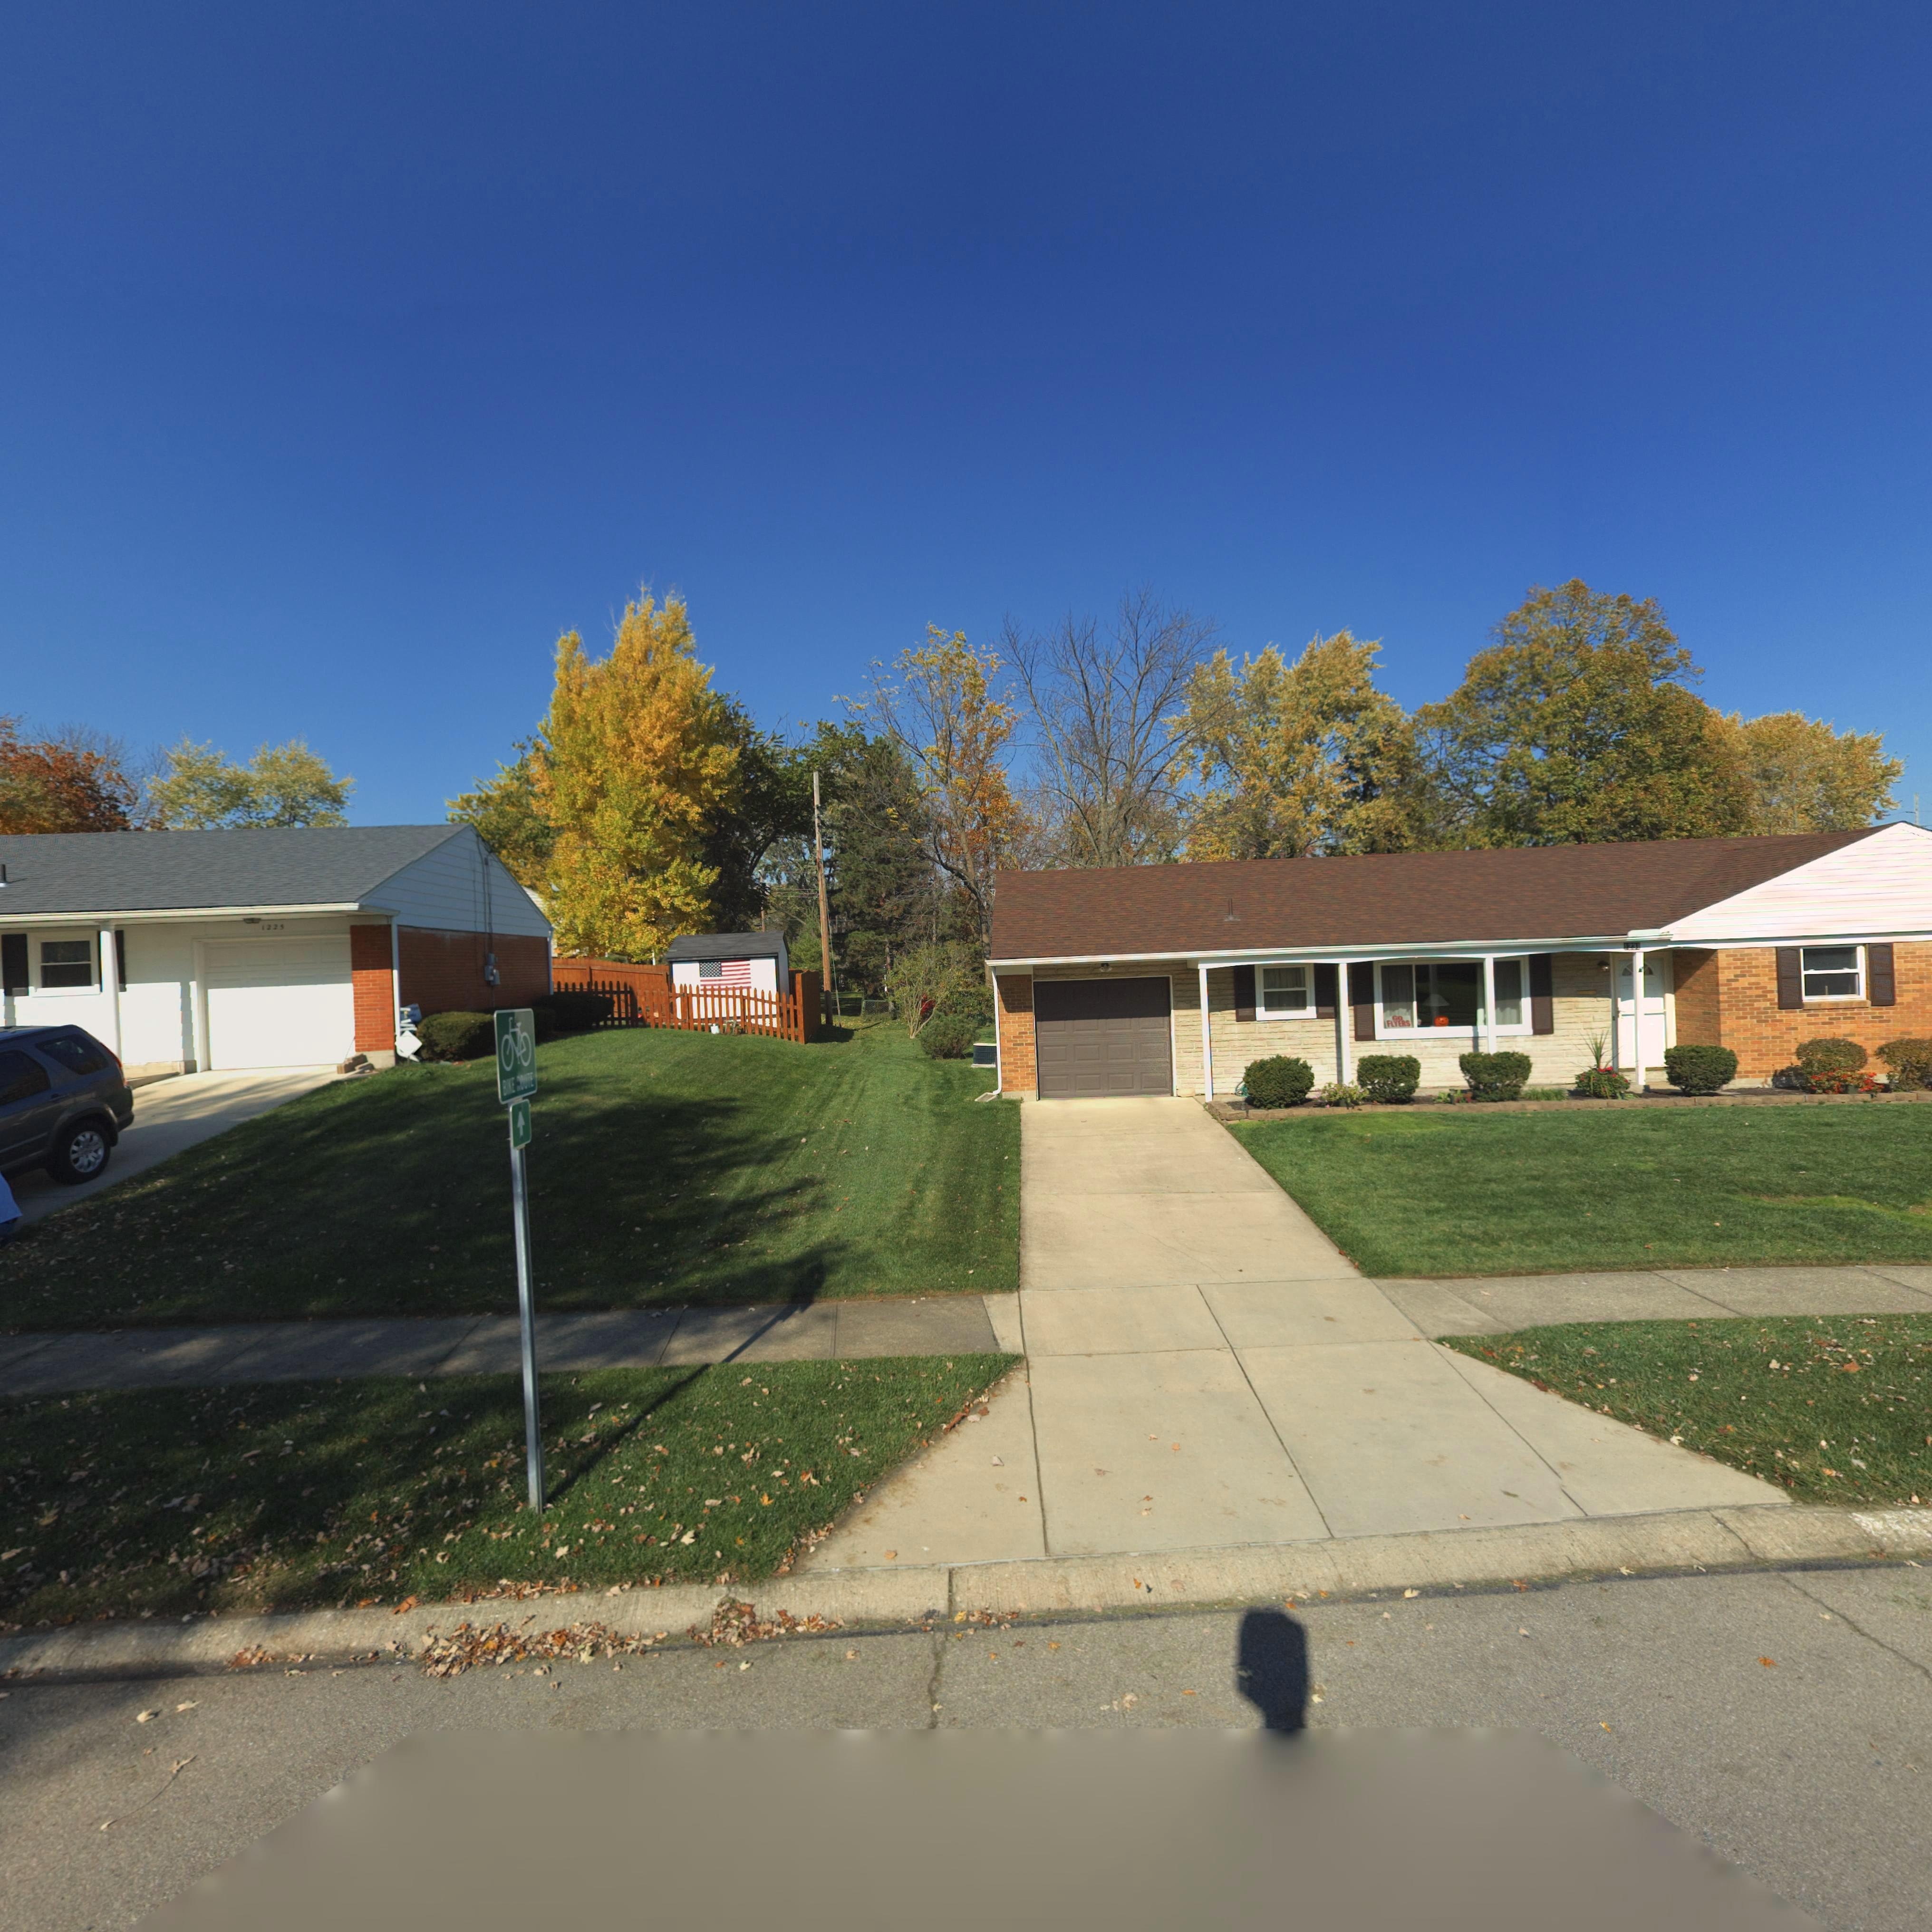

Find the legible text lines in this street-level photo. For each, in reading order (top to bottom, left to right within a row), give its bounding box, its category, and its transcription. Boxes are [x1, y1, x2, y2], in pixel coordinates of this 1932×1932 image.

[261, 923, 285, 931] StreetNumber: 1225
[1624, 943, 1640, 950] StreetNumber: 1234
[1391, 1015, 1403, 1021] None: GO
[1386, 1019, 1411, 1027] None: FLYERS
[502, 1072, 534, 1098] None: BIKE ROUTE